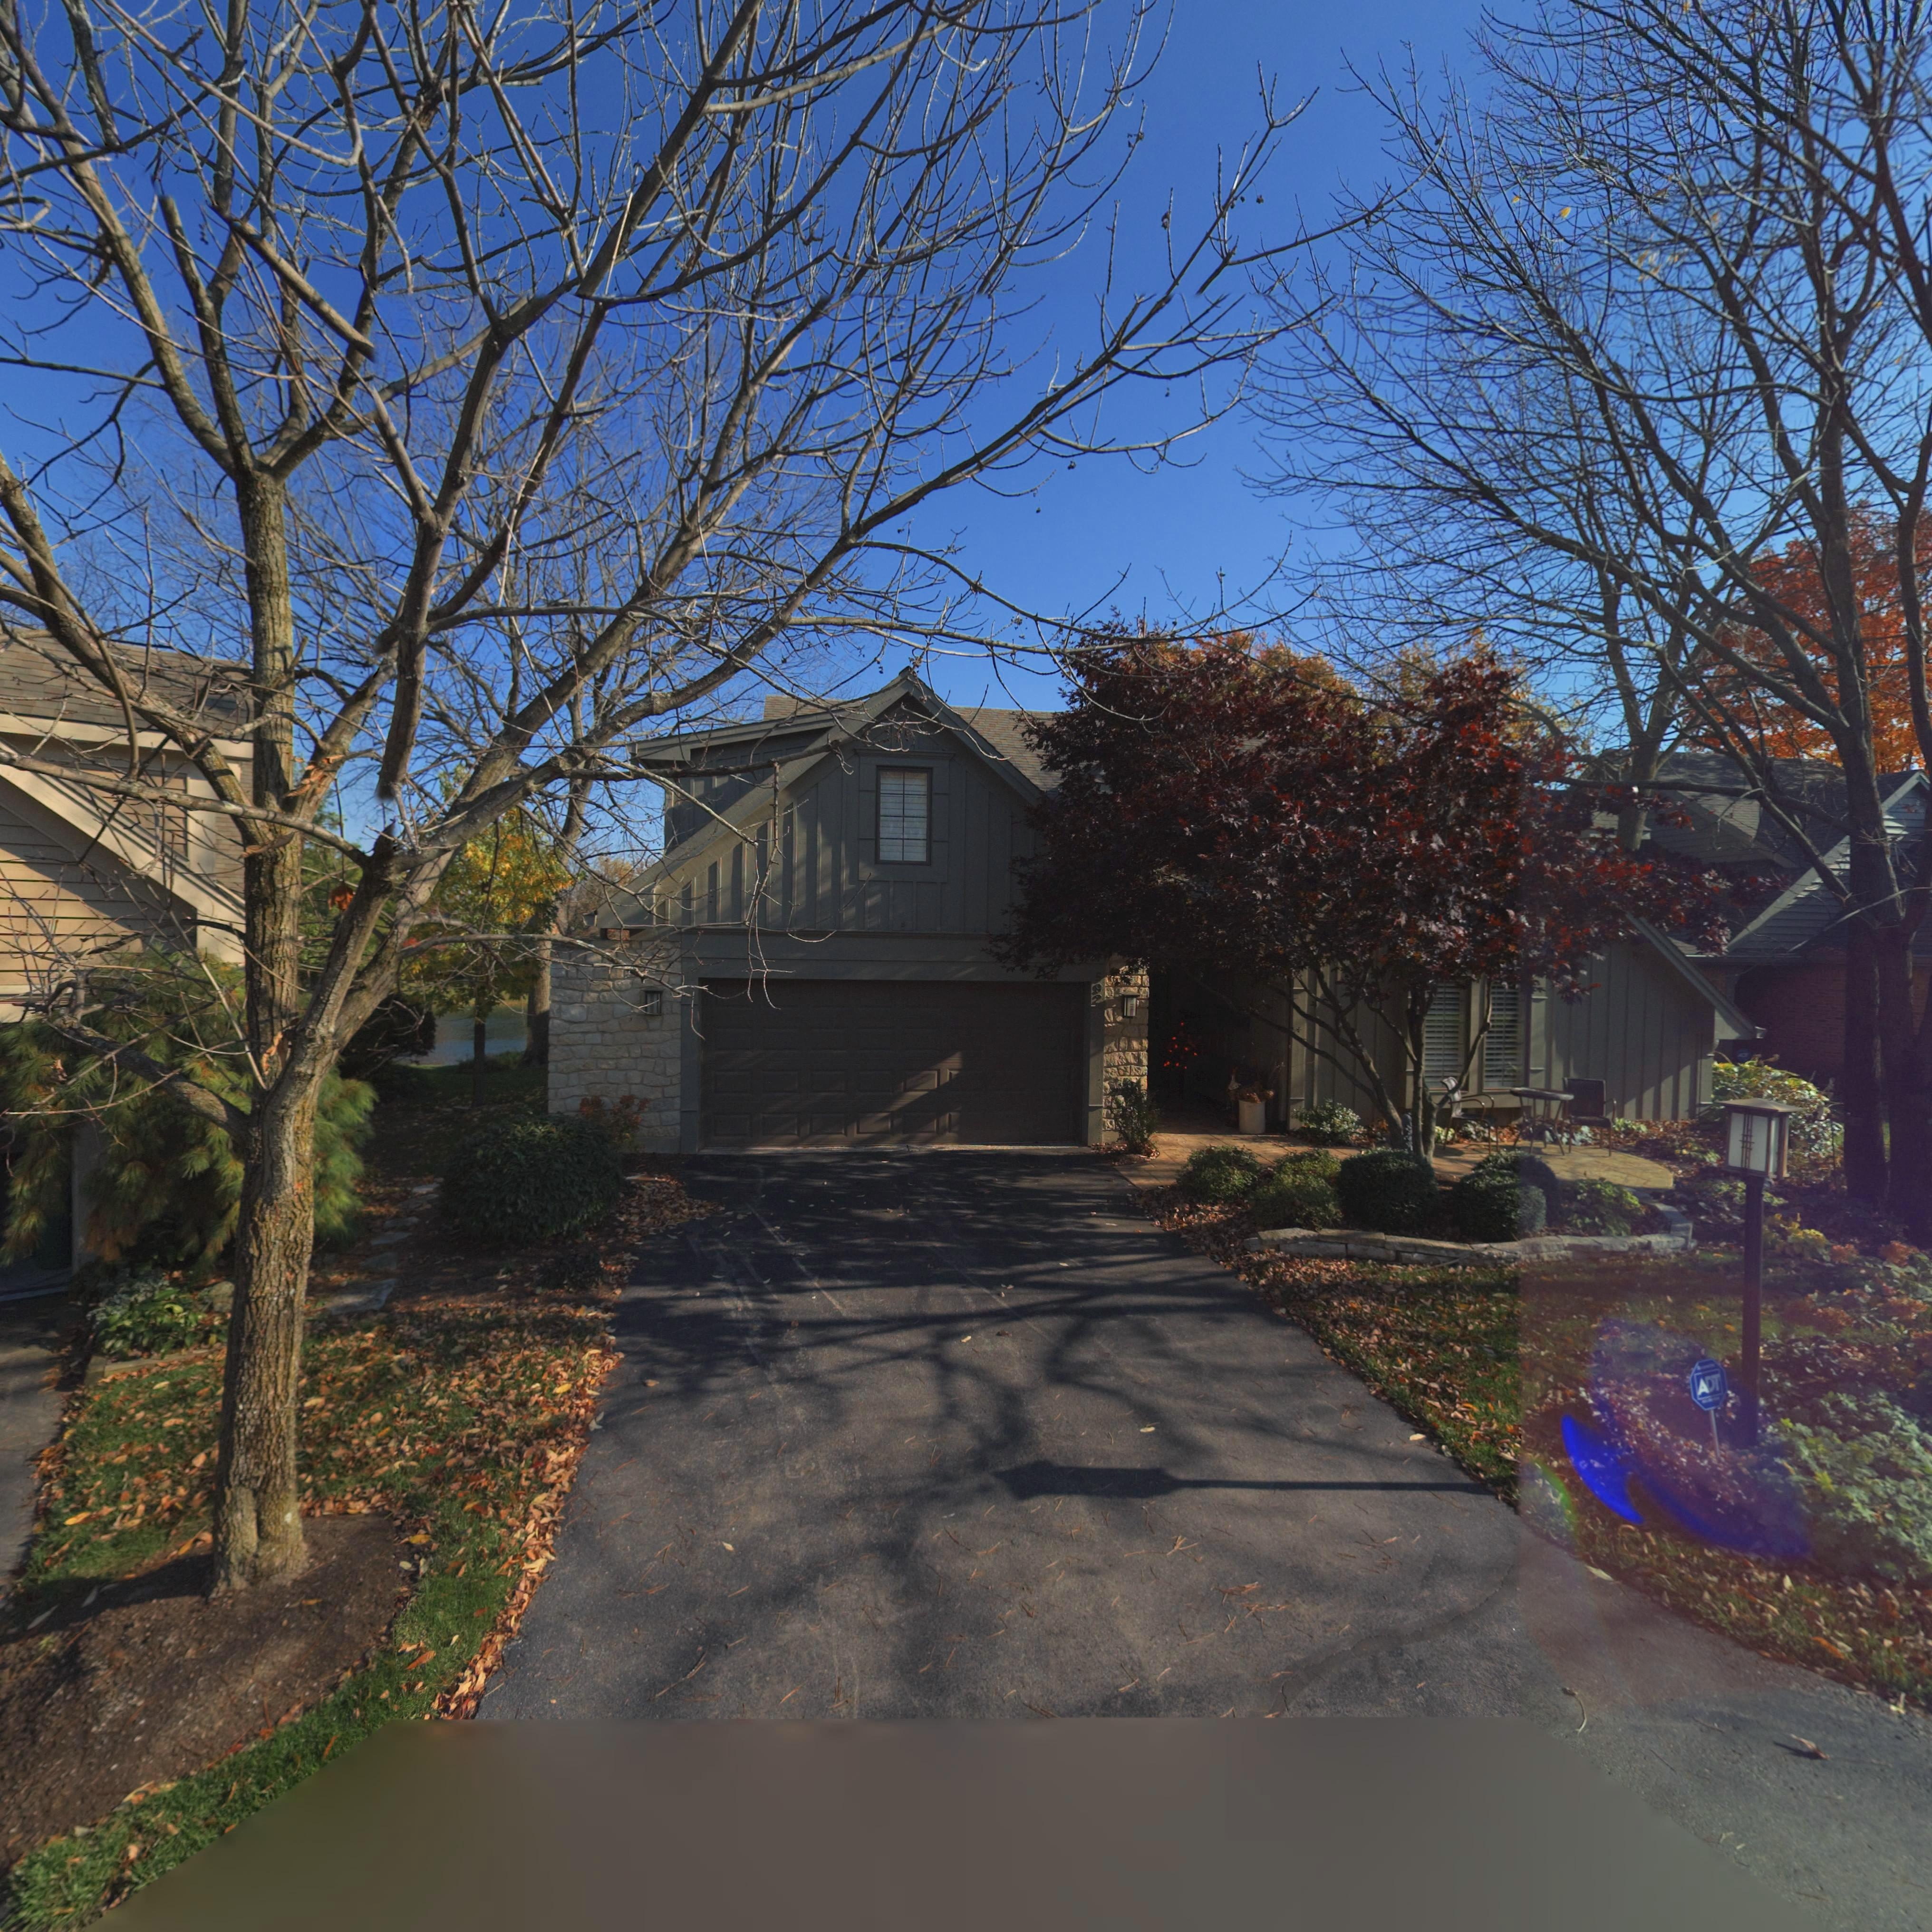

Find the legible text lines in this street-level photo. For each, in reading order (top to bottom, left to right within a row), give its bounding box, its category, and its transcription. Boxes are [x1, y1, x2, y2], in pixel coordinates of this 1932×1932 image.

[1093, 971, 1102, 1005] StreetNumber: 592